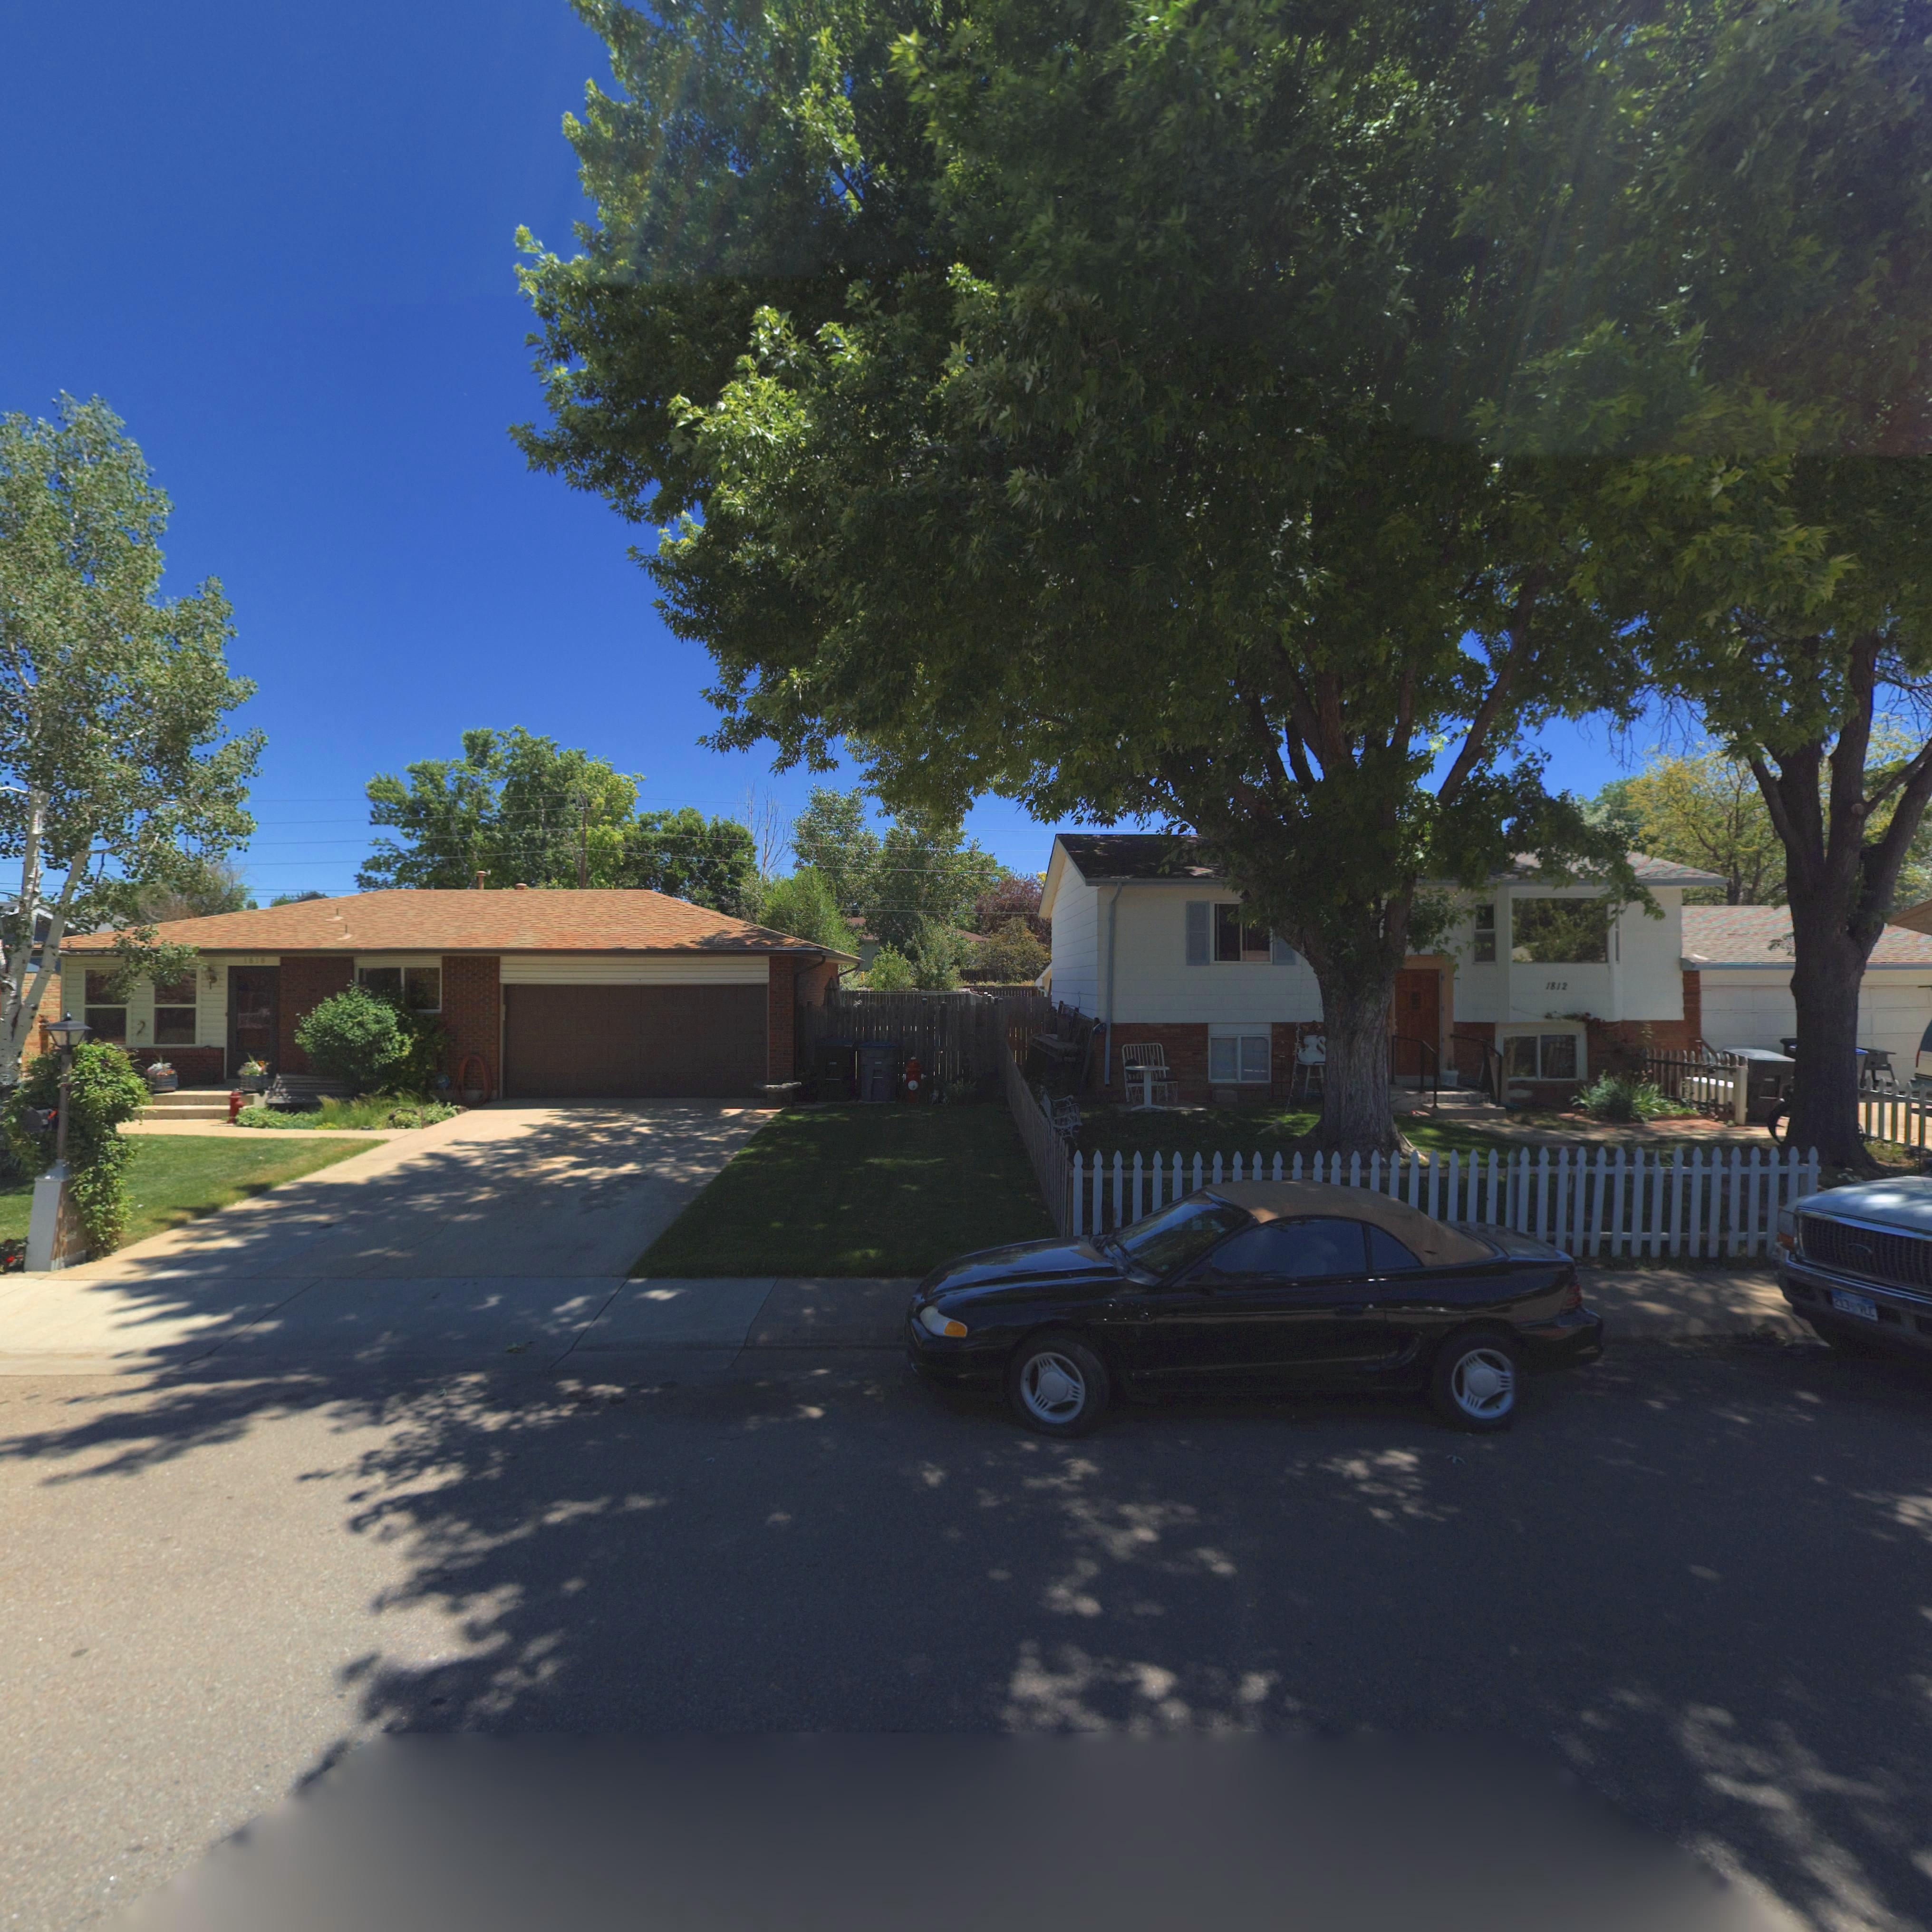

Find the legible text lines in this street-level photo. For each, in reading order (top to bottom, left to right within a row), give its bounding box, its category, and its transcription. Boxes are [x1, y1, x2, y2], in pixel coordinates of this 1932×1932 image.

[242, 956, 265, 964] StreetNumber: 1818
[1545, 981, 1568, 990] StreetNumber: 1812